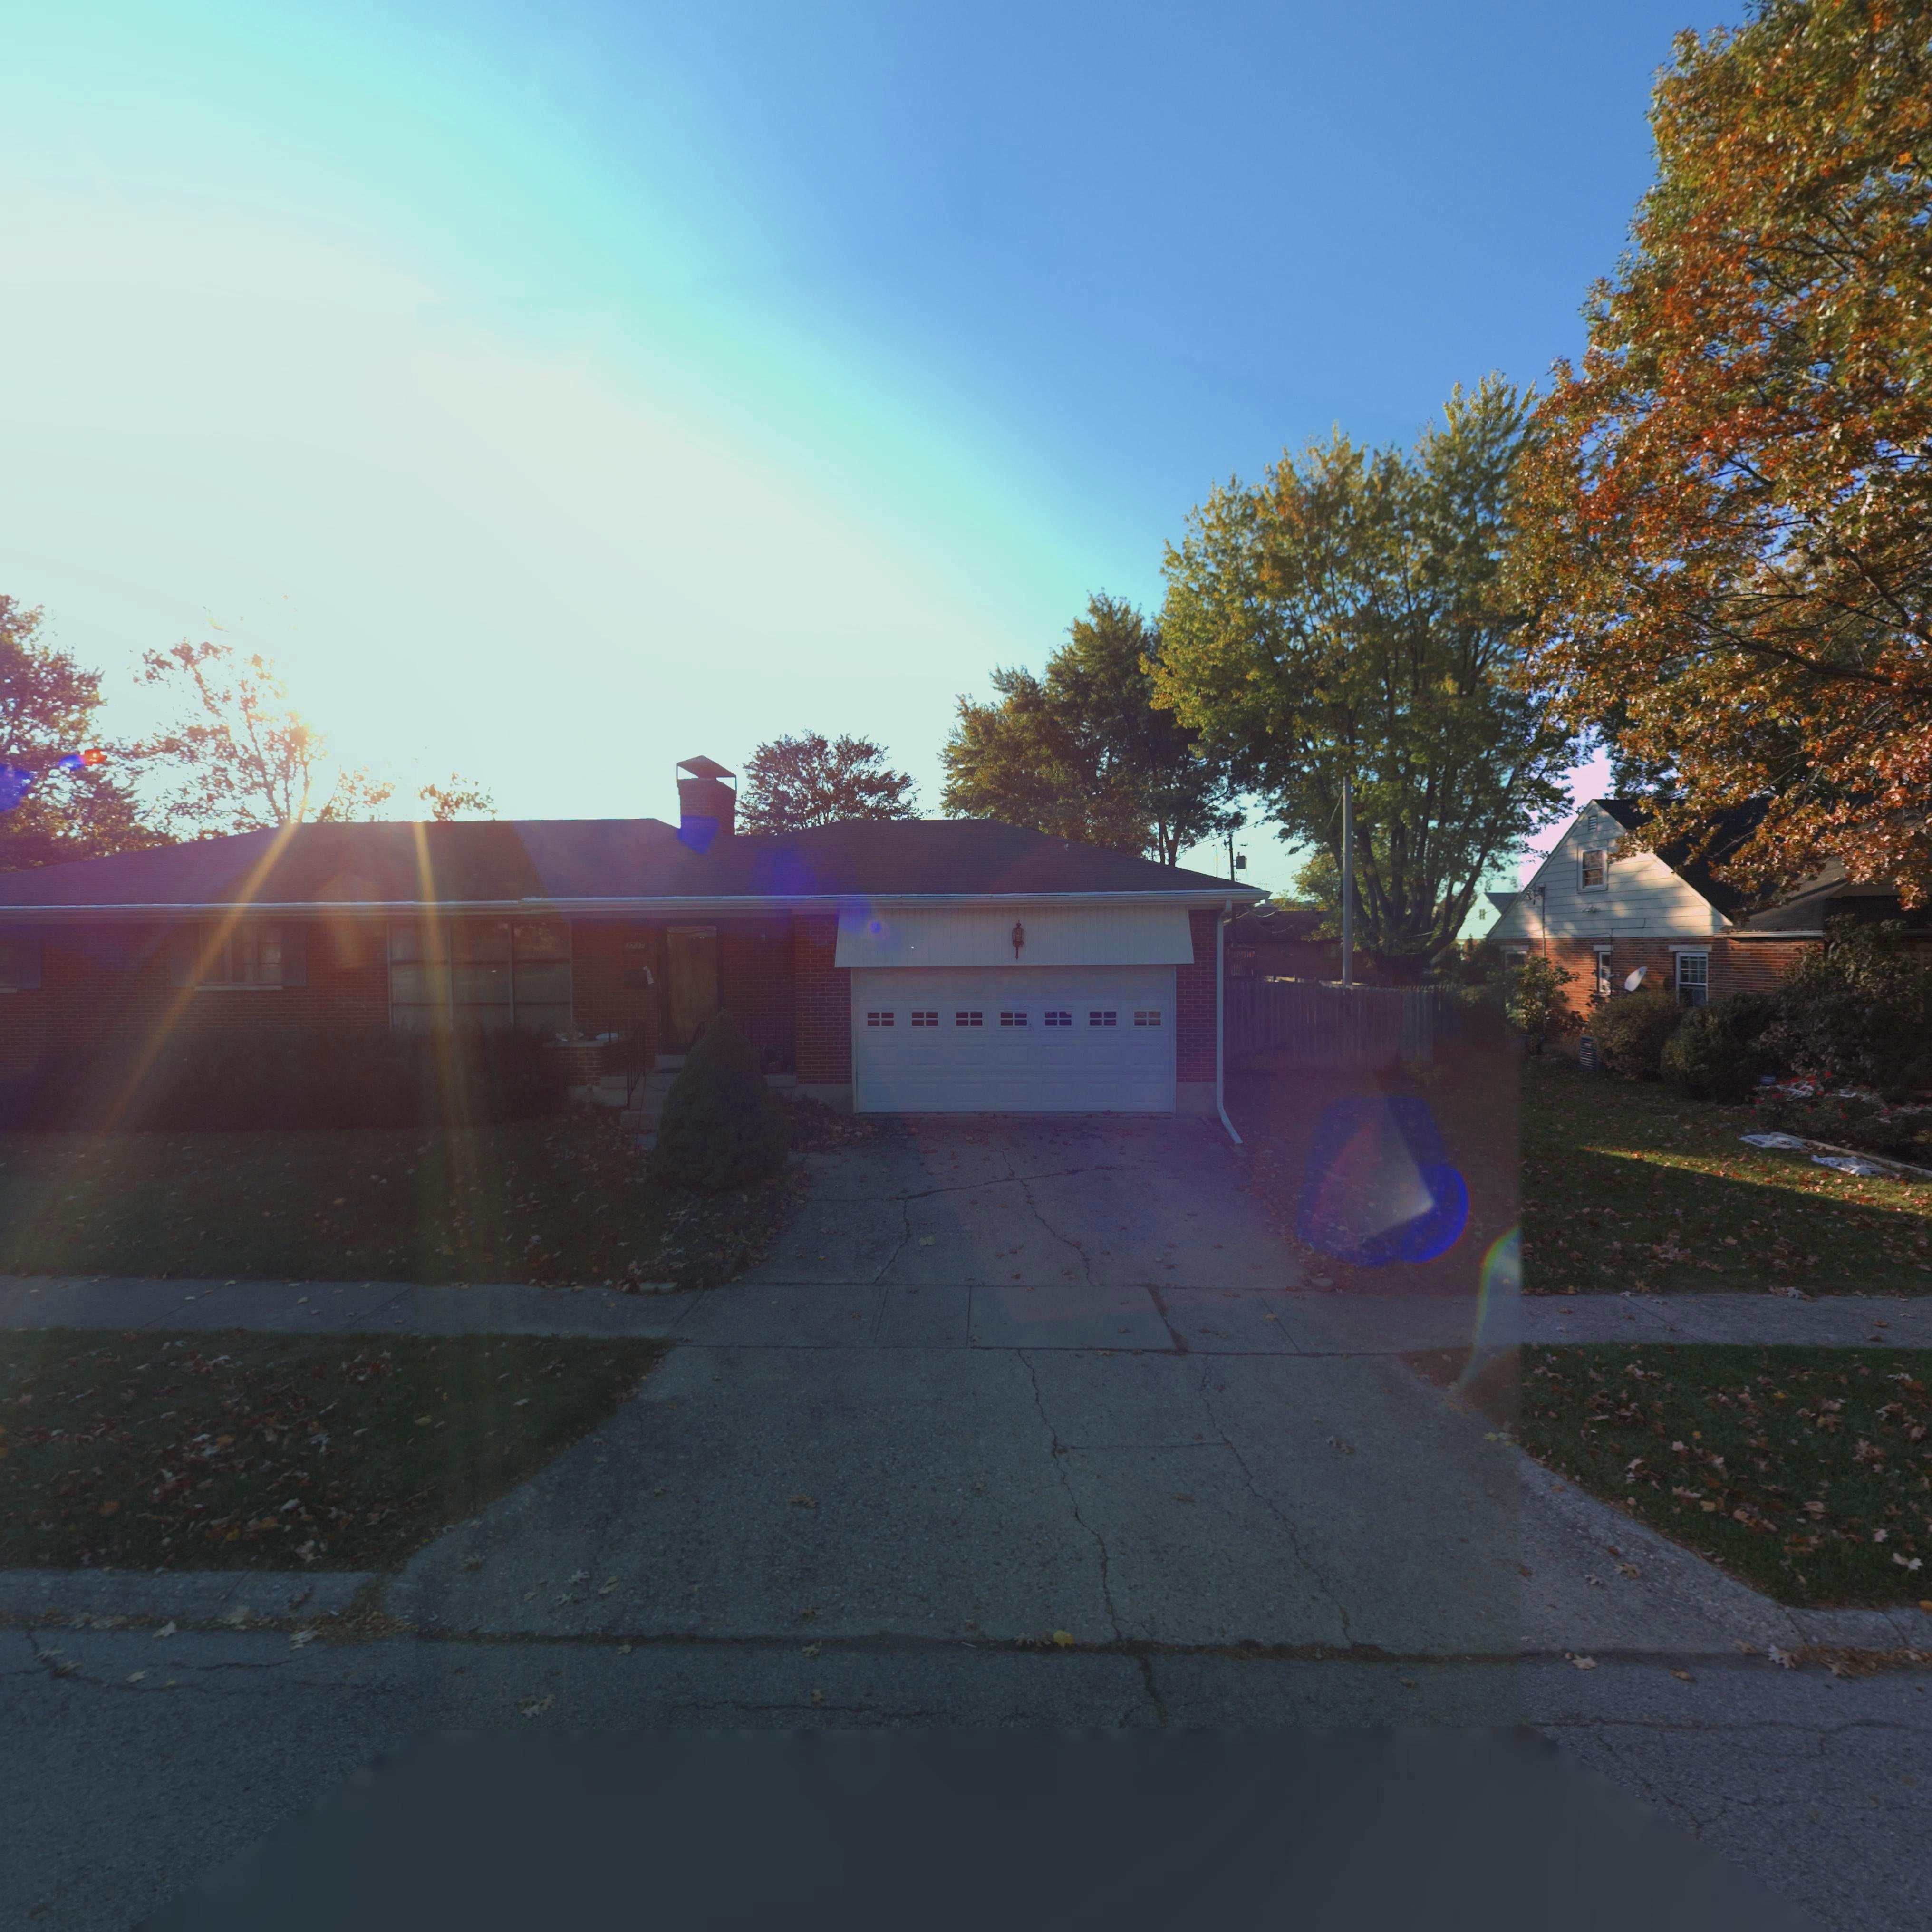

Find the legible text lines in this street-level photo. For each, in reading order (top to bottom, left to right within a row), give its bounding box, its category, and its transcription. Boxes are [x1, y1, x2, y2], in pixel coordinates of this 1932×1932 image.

[624, 941, 646, 950] StreetNumber: 3737